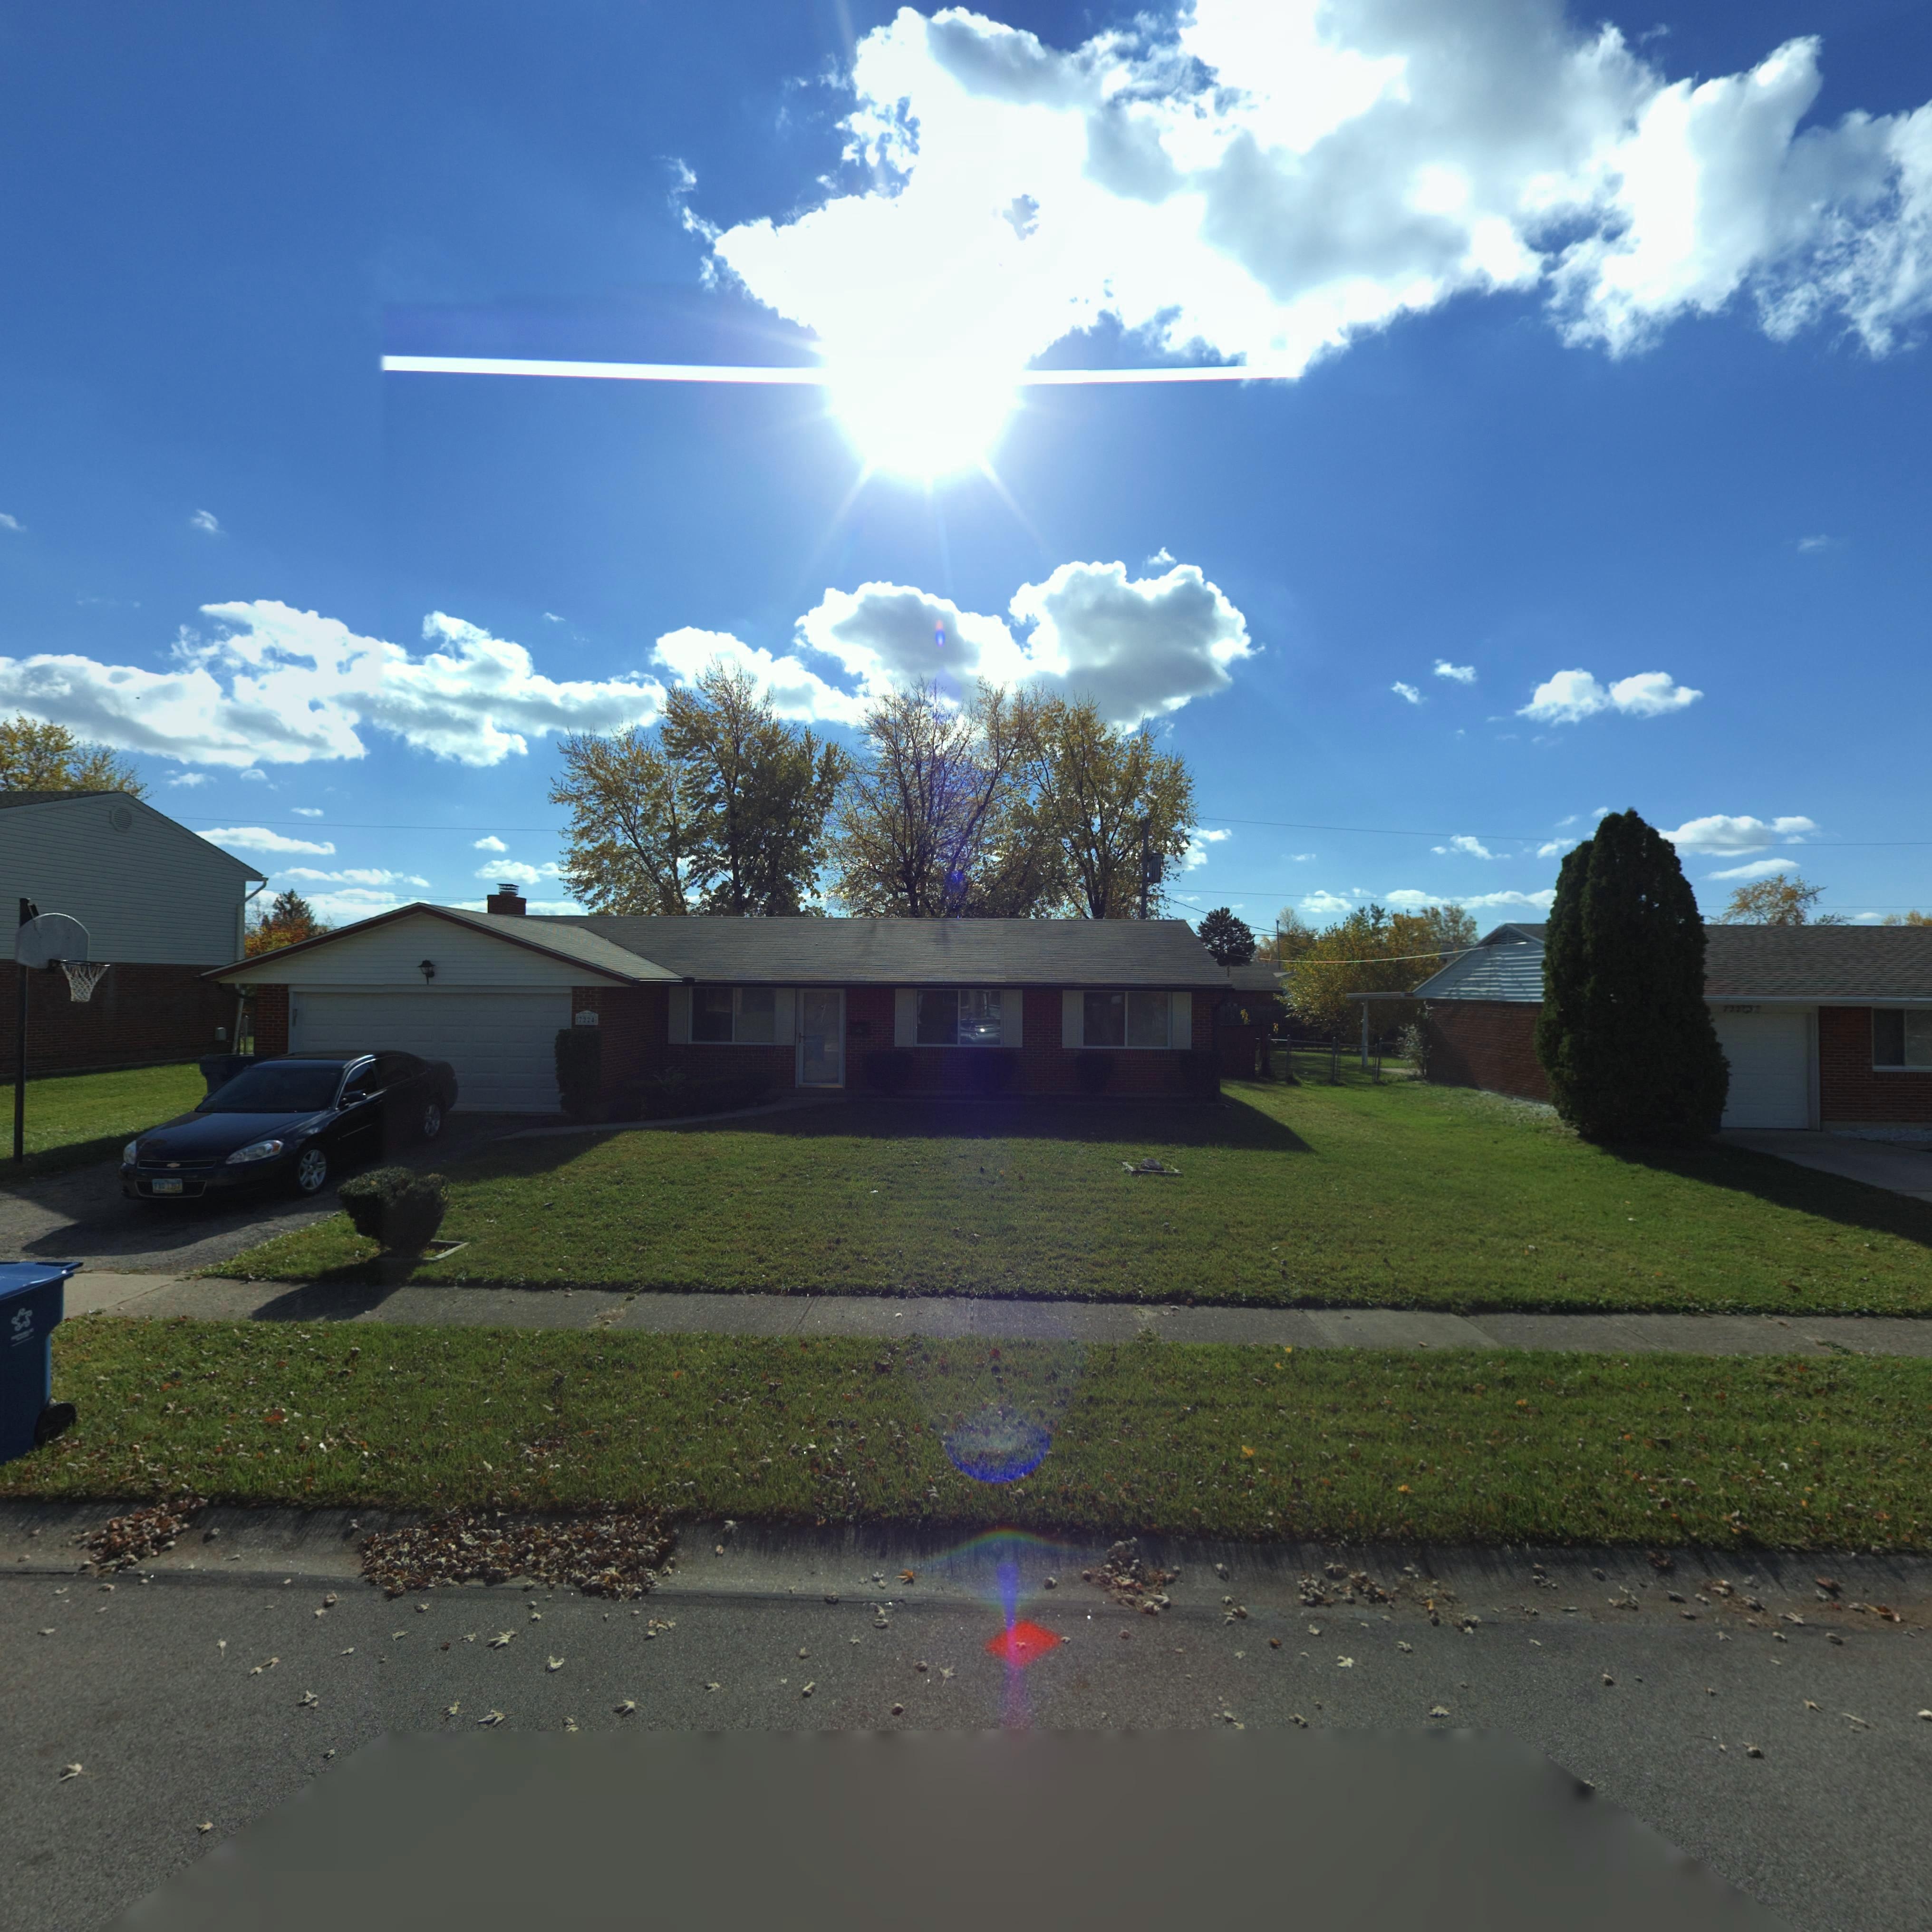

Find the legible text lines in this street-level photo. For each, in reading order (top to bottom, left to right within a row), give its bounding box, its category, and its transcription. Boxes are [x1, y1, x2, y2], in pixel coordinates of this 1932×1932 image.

[578, 1016, 595, 1024] StreetNumber: 722*